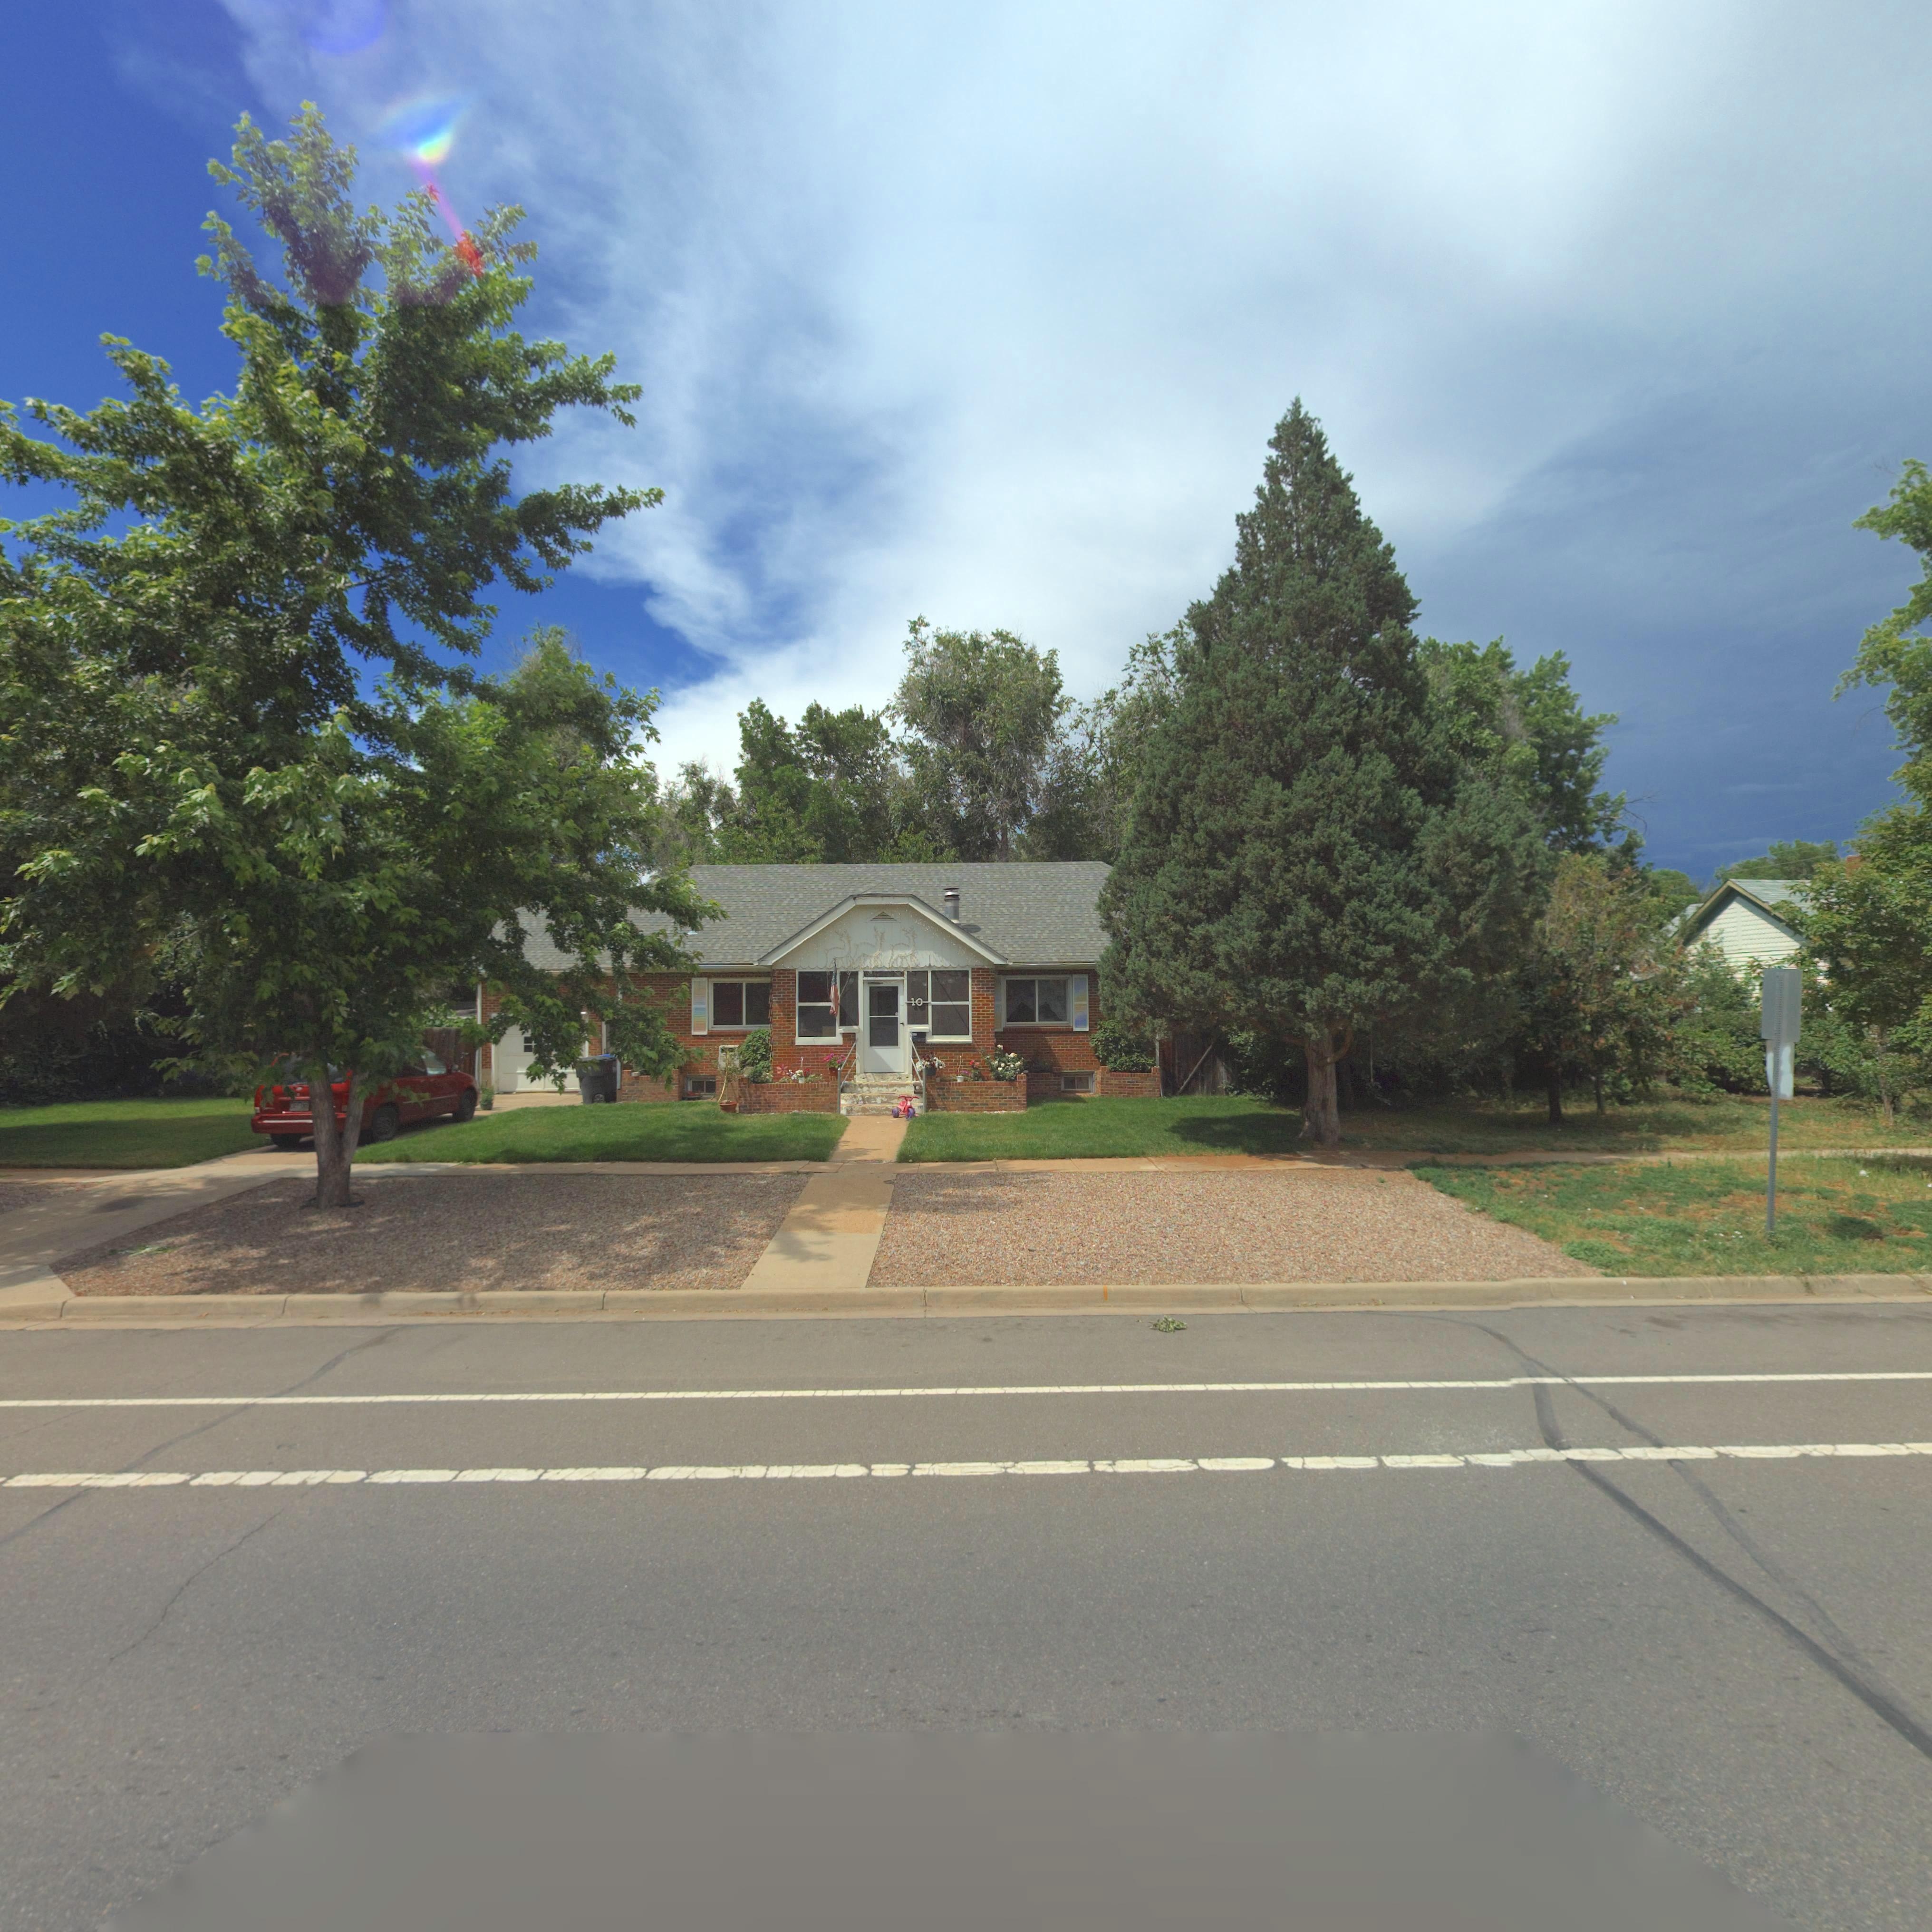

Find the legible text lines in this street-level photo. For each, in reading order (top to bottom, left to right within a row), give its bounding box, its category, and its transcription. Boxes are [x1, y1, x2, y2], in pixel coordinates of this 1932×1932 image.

[910, 997, 923, 1006] StreetNumber: 10